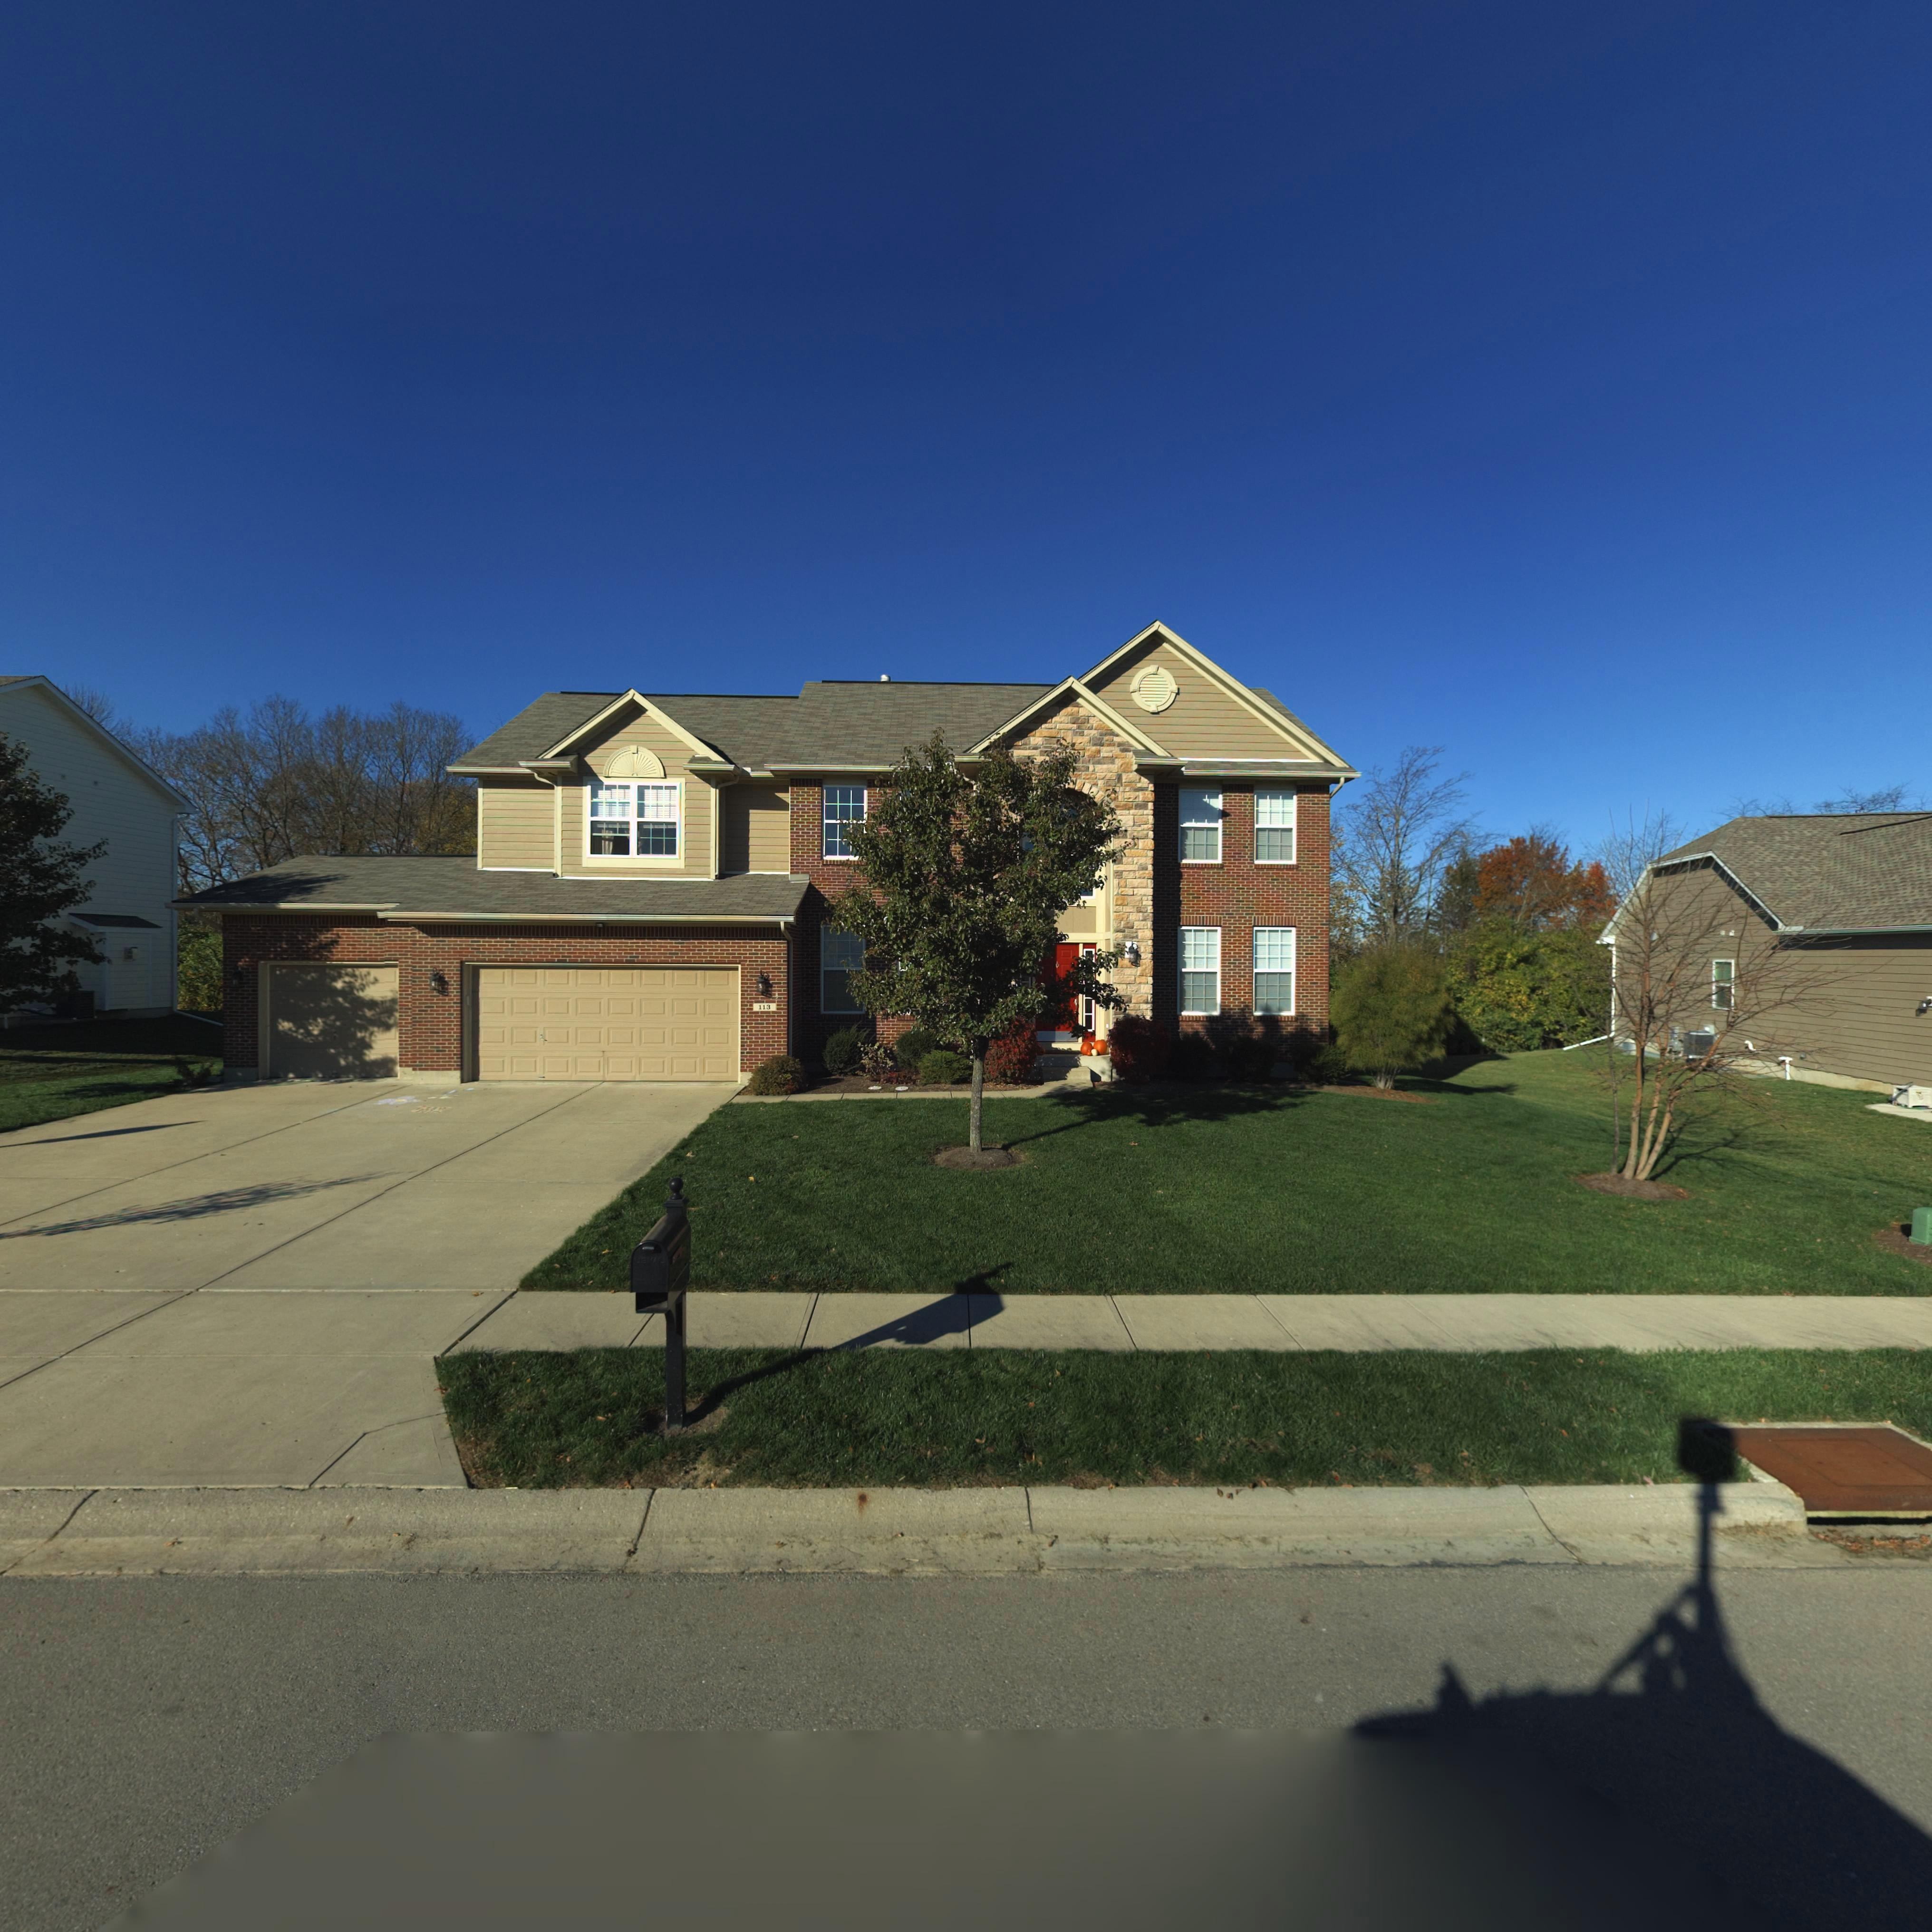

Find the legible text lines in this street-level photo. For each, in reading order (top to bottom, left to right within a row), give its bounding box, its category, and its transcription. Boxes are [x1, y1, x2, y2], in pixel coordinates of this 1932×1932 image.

[758, 1004, 771, 1011] StreetNumber: 113